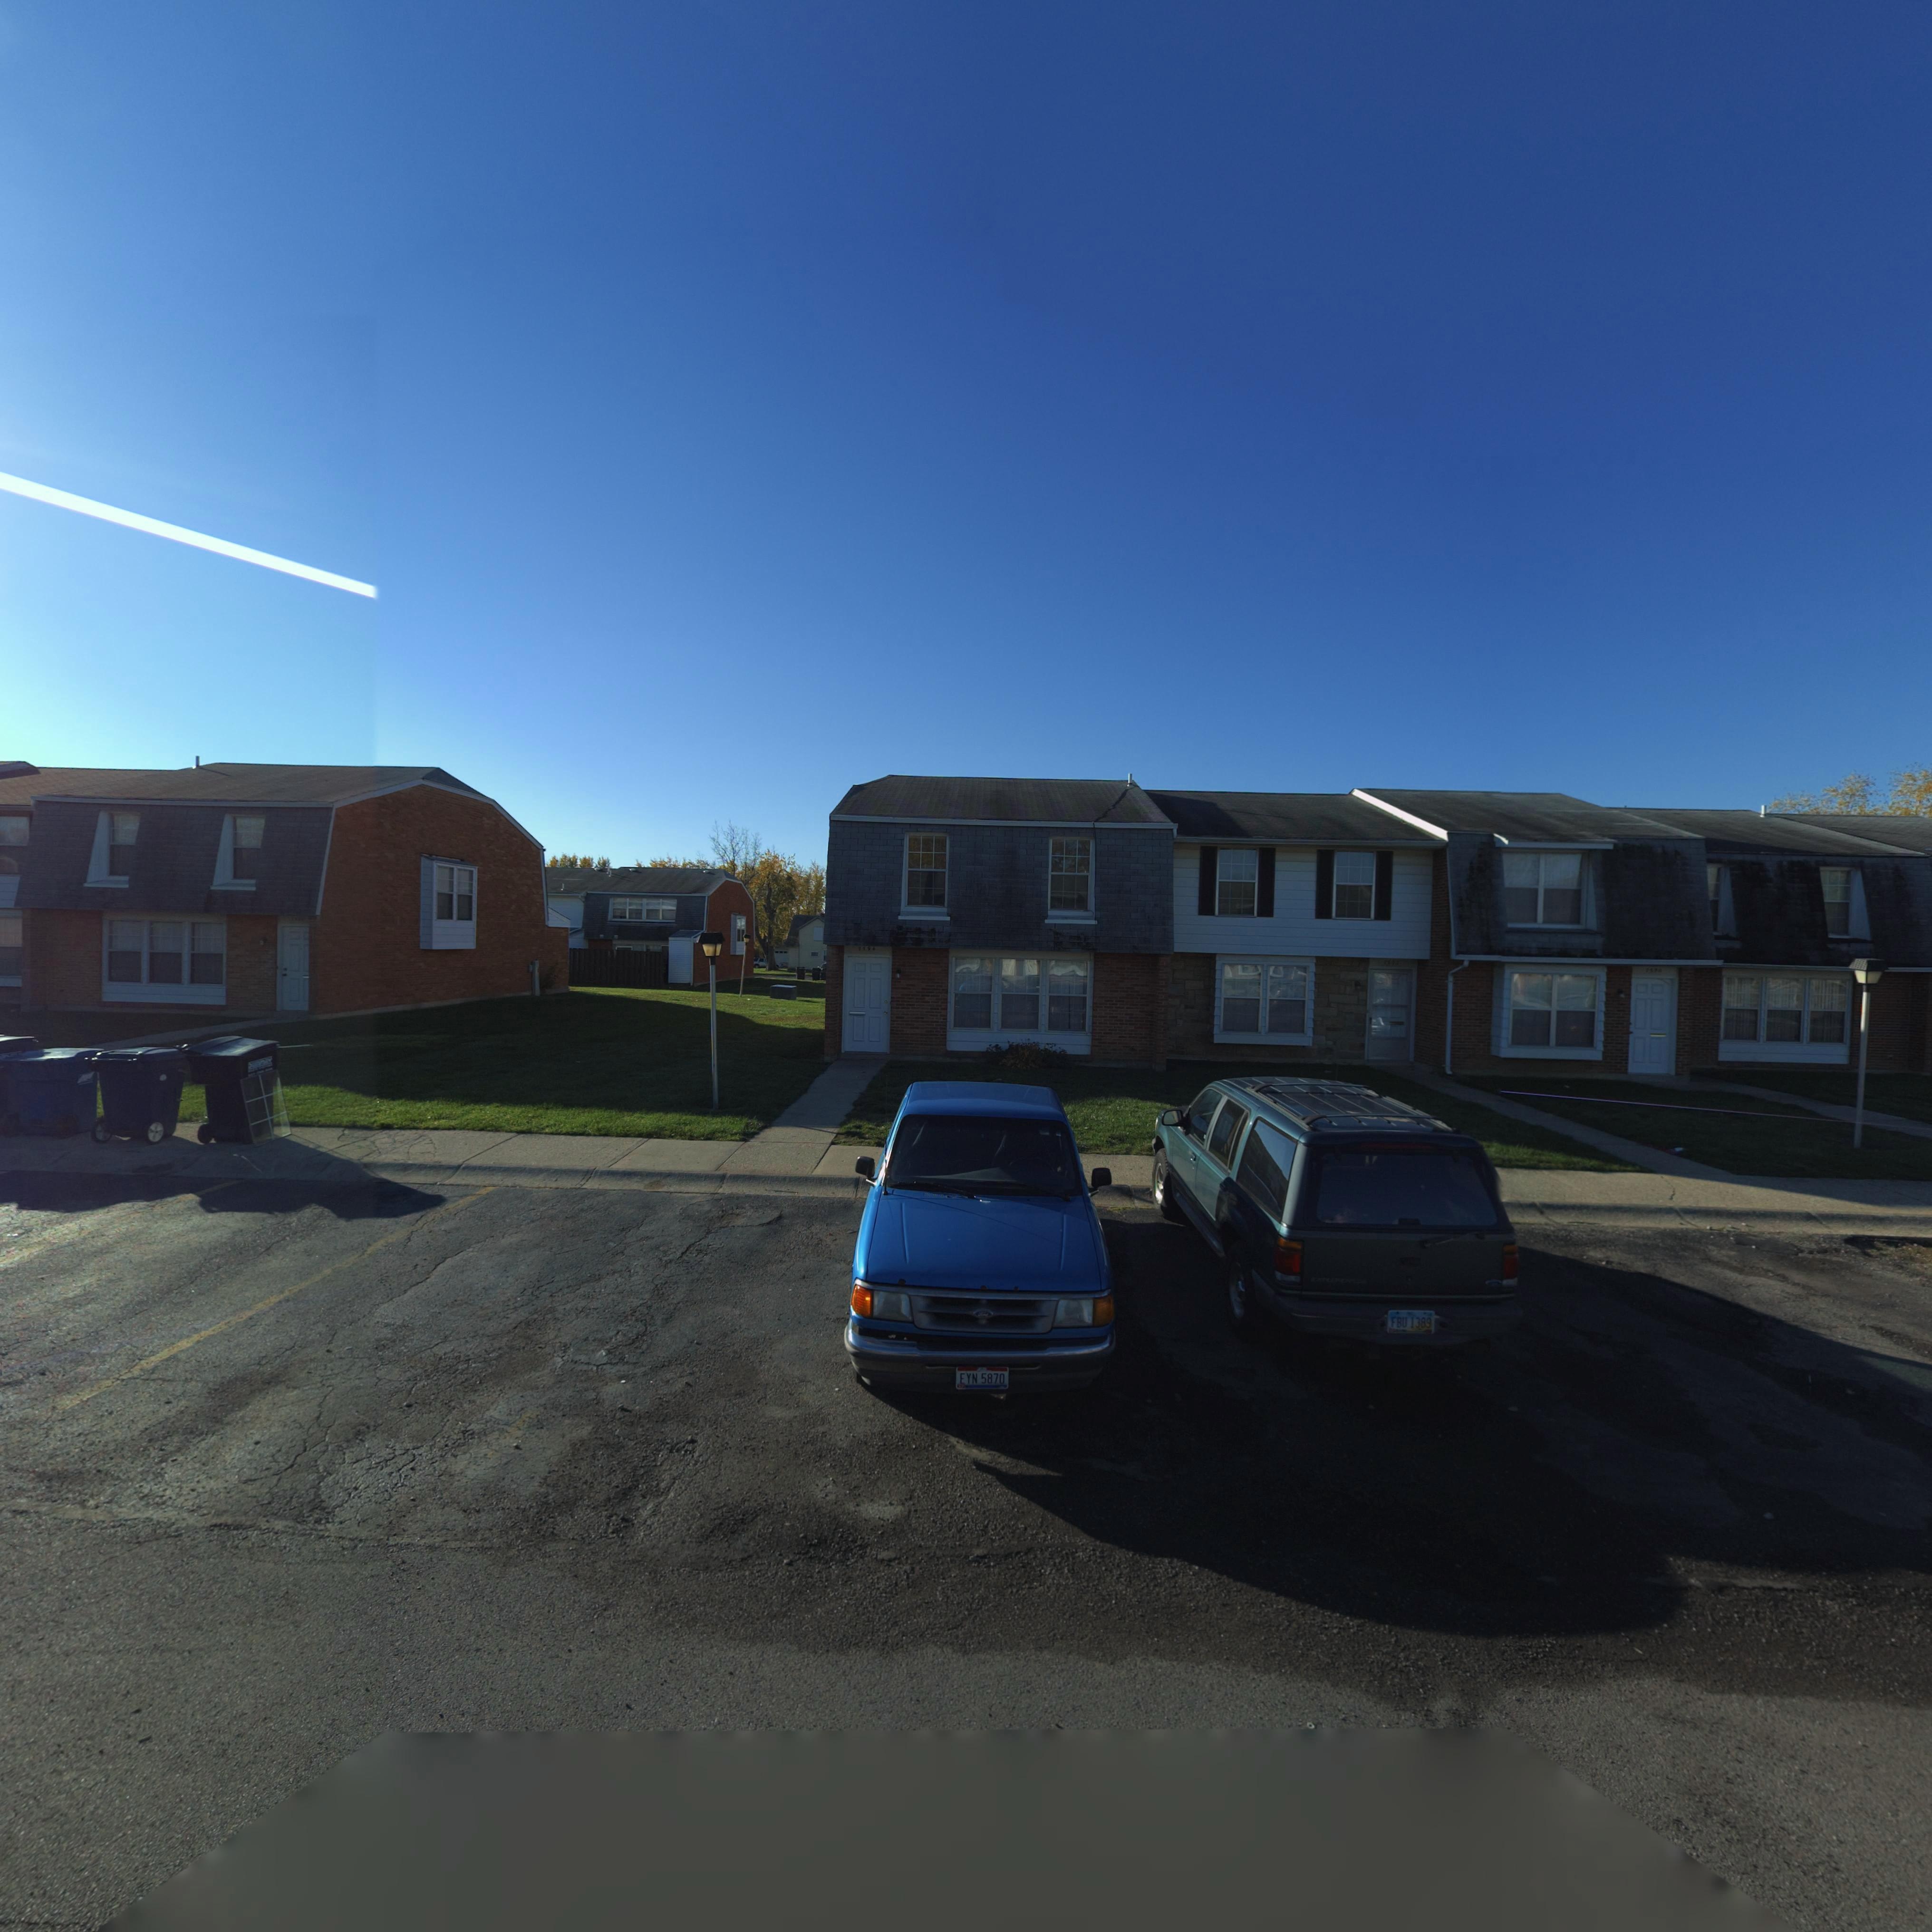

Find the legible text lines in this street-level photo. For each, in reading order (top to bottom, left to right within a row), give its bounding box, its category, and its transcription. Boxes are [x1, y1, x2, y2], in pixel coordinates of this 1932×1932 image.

[290, 917, 305, 921] StreetNumber: 75**
[858, 946, 876, 951] StreetNumber: 7594
[1382, 959, 1400, 966] StreetNumber: 7592
[1645, 967, 1663, 973] StreetNumber: 759*